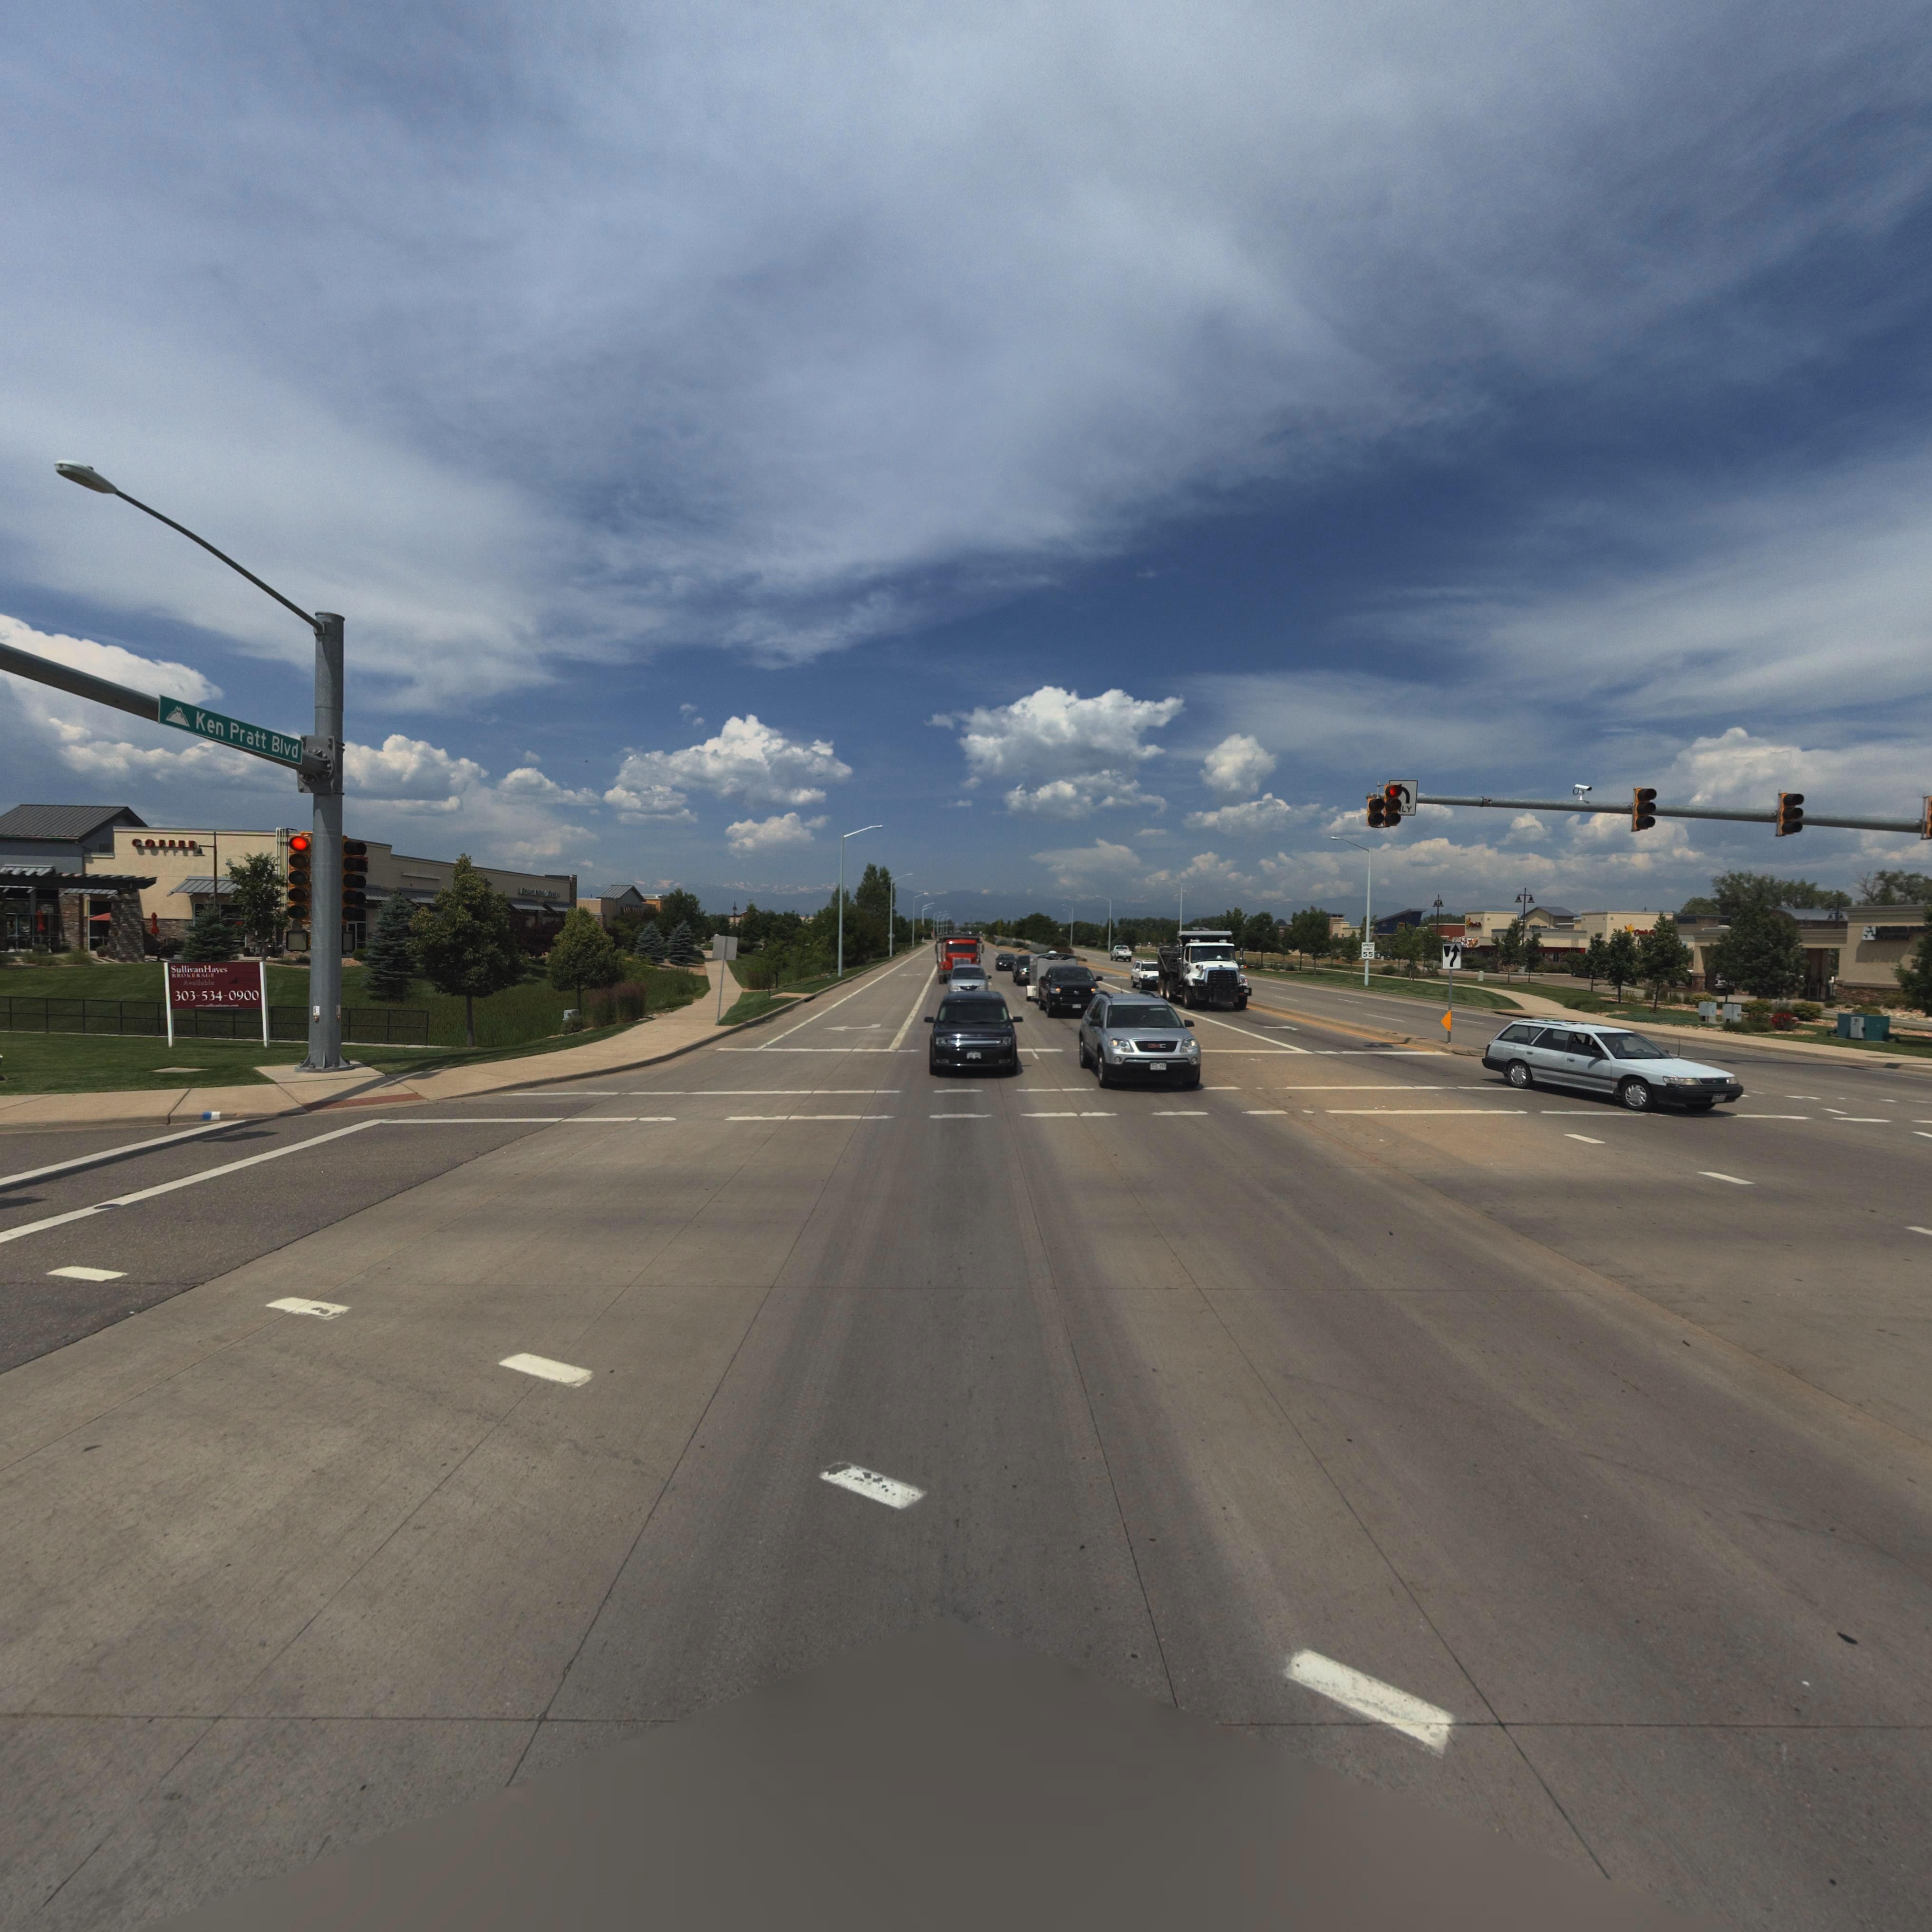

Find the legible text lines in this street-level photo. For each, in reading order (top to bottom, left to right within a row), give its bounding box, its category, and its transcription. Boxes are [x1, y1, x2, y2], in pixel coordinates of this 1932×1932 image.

[195, 709, 299, 760] StreetName: Ken Pratt Blvd
[131, 838, 195, 849] BusinessName: COFFEE
[520, 887, 560, 898] BusinessName: B*********D**T**